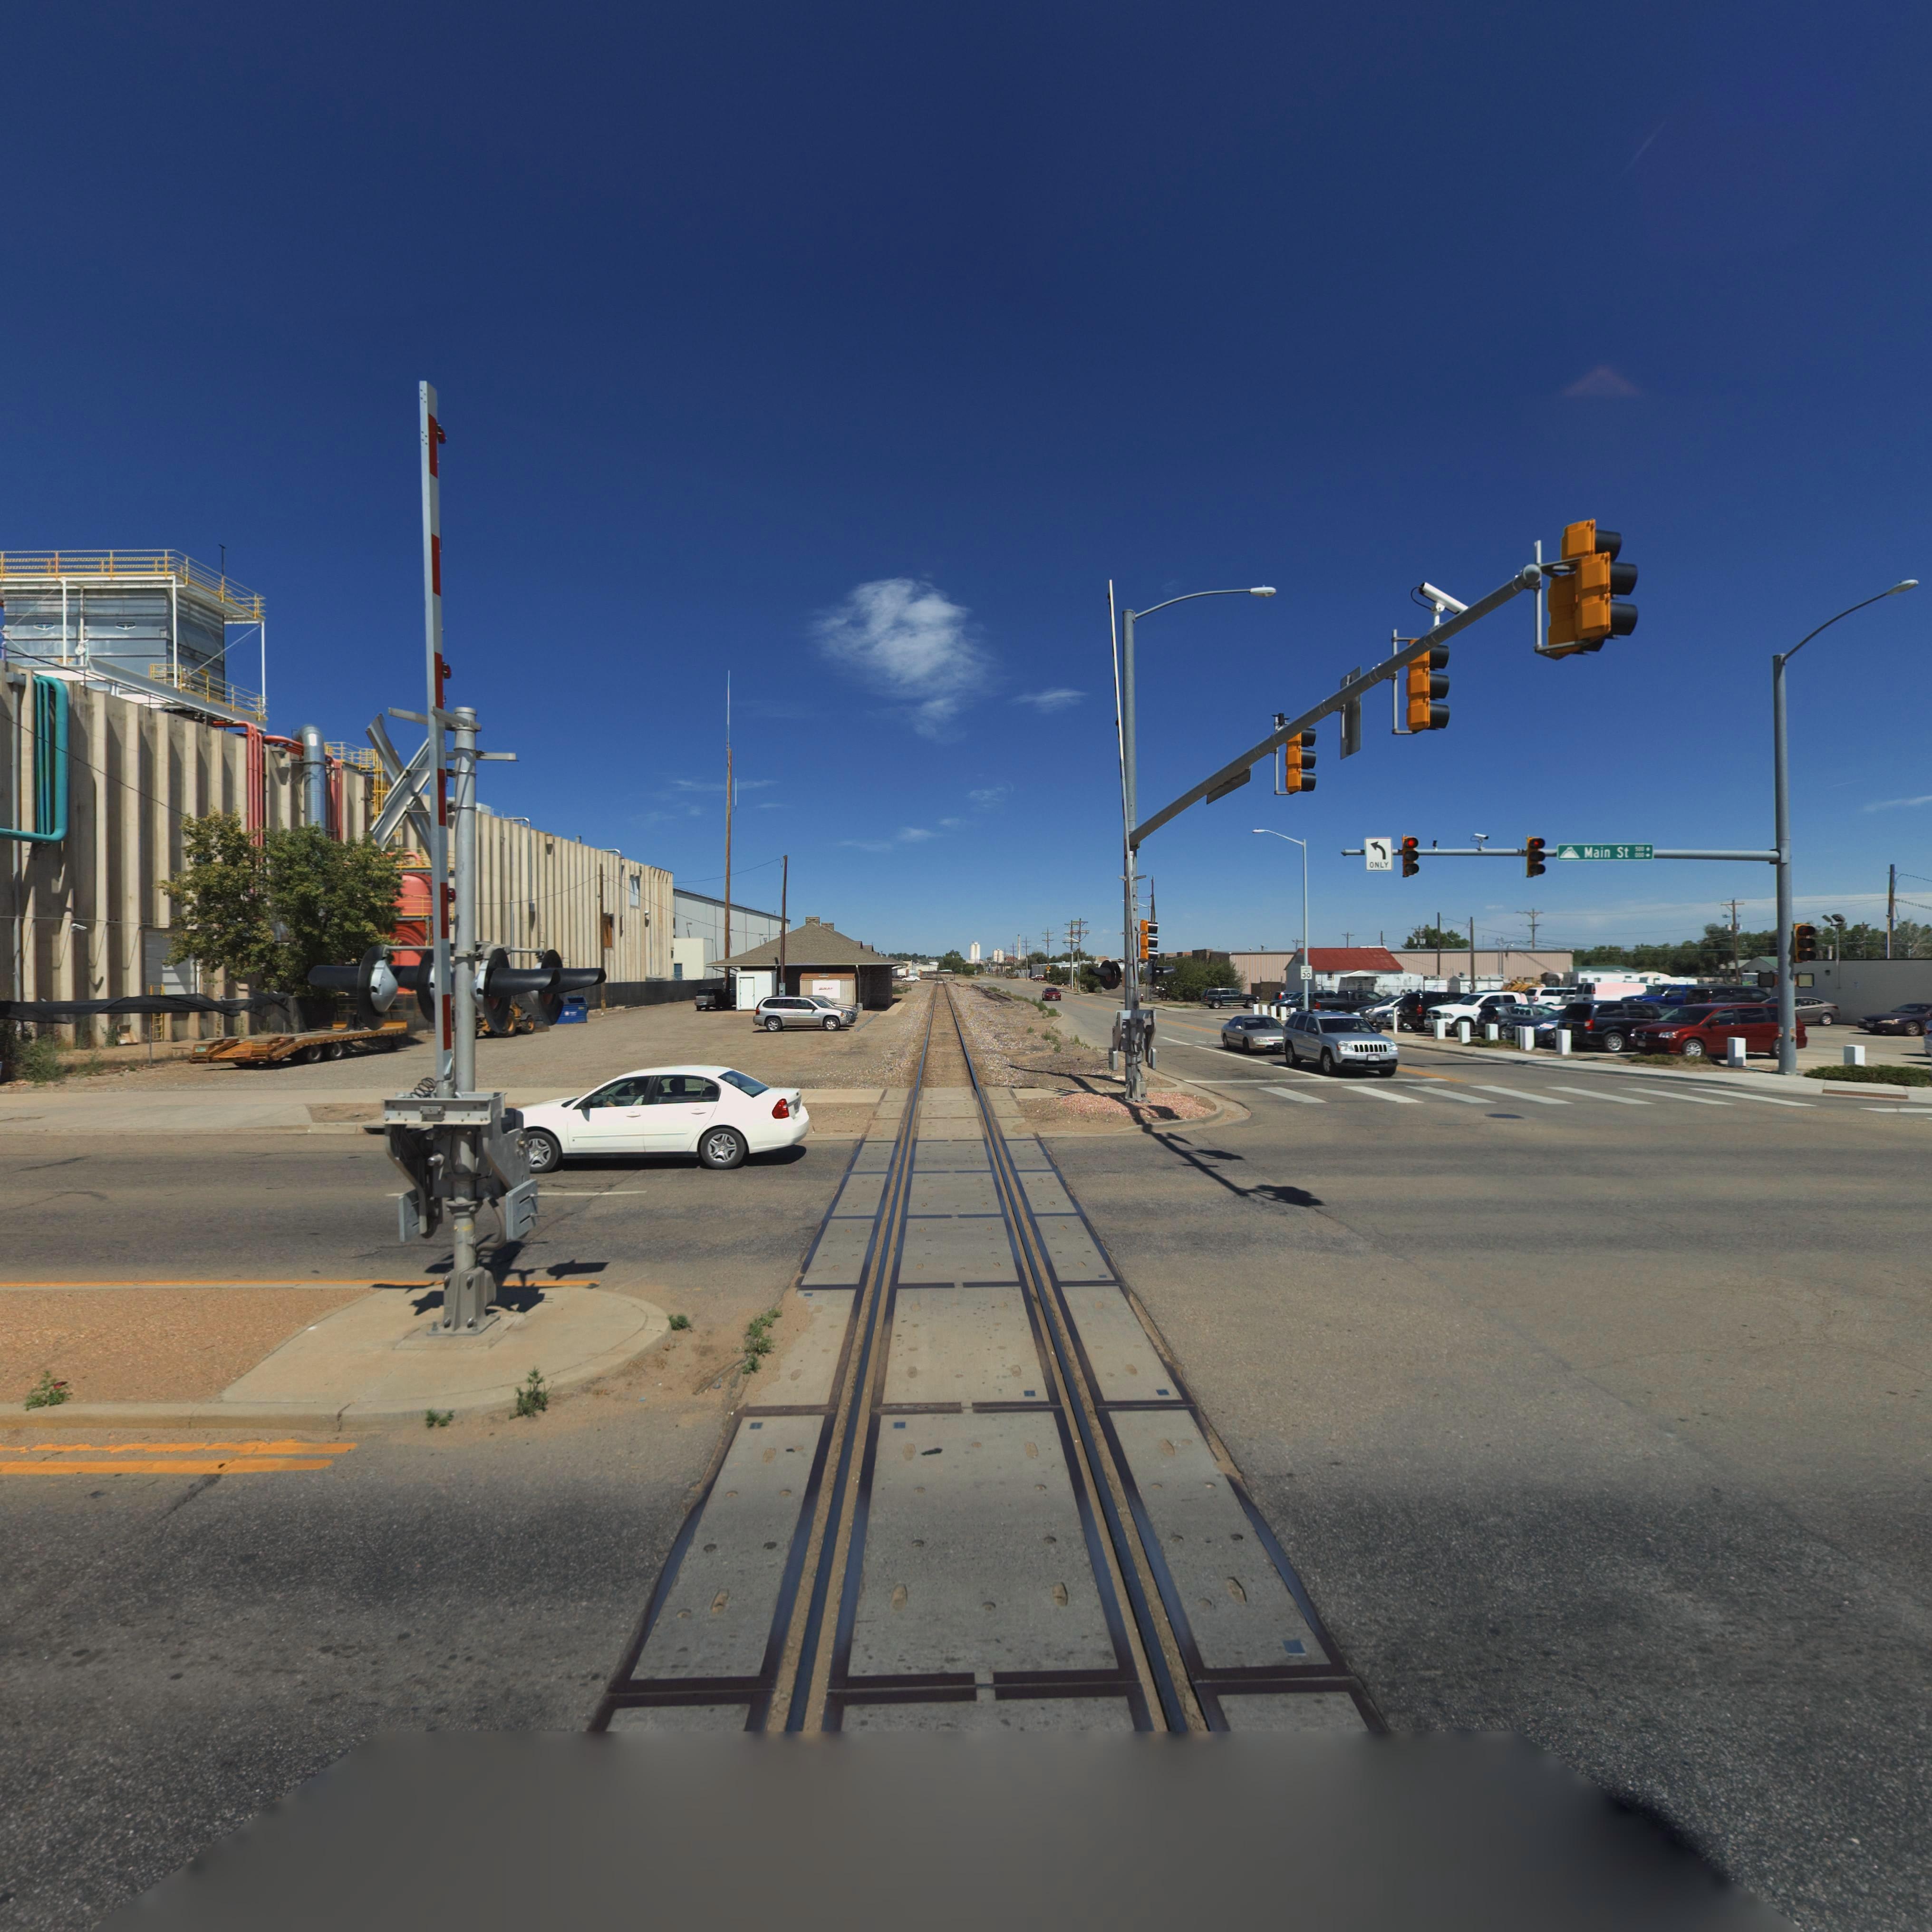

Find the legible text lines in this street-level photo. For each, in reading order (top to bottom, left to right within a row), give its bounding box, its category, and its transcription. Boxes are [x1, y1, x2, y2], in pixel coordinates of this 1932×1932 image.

[1584, 846, 1628, 857] StreetName: Main St
[1301, 970, 1312, 981] StreetNumber: 30